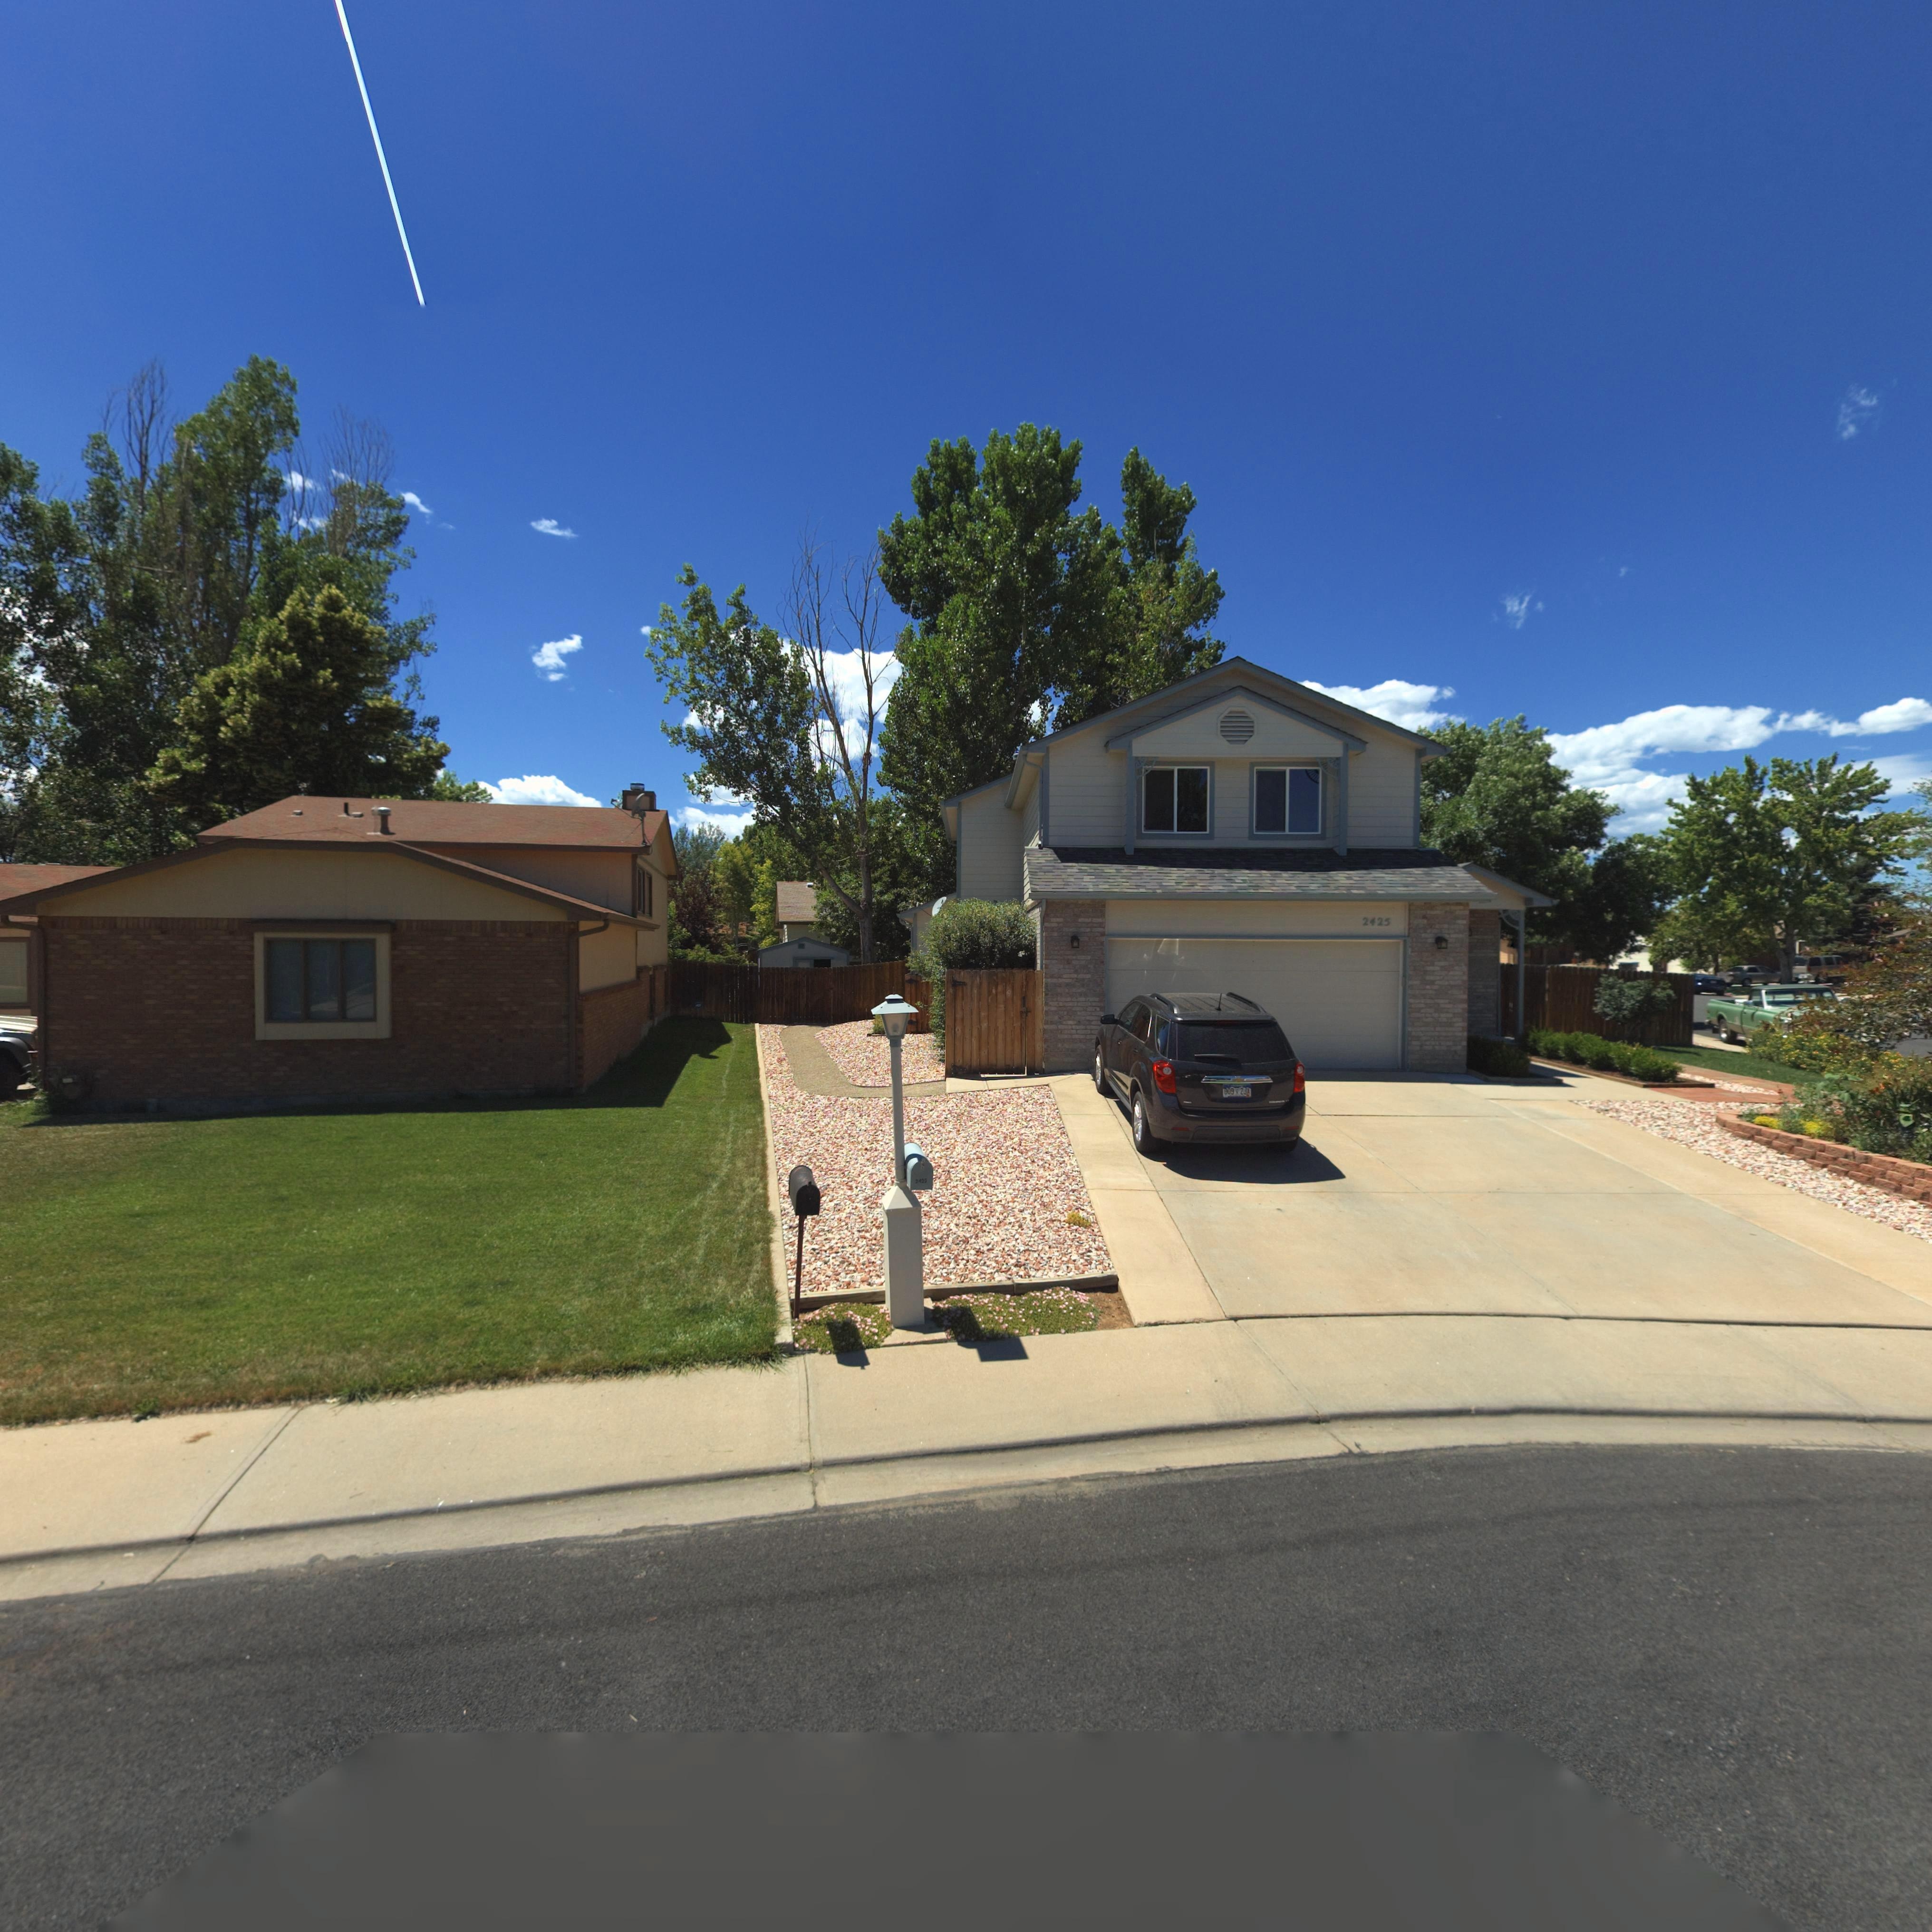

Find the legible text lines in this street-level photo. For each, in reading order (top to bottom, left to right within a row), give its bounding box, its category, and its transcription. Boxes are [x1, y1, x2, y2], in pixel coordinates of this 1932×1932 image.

[1362, 917, 1391, 927] StreetNumber: 2425
[915, 1178, 927, 1184] StreetNumber: 2425